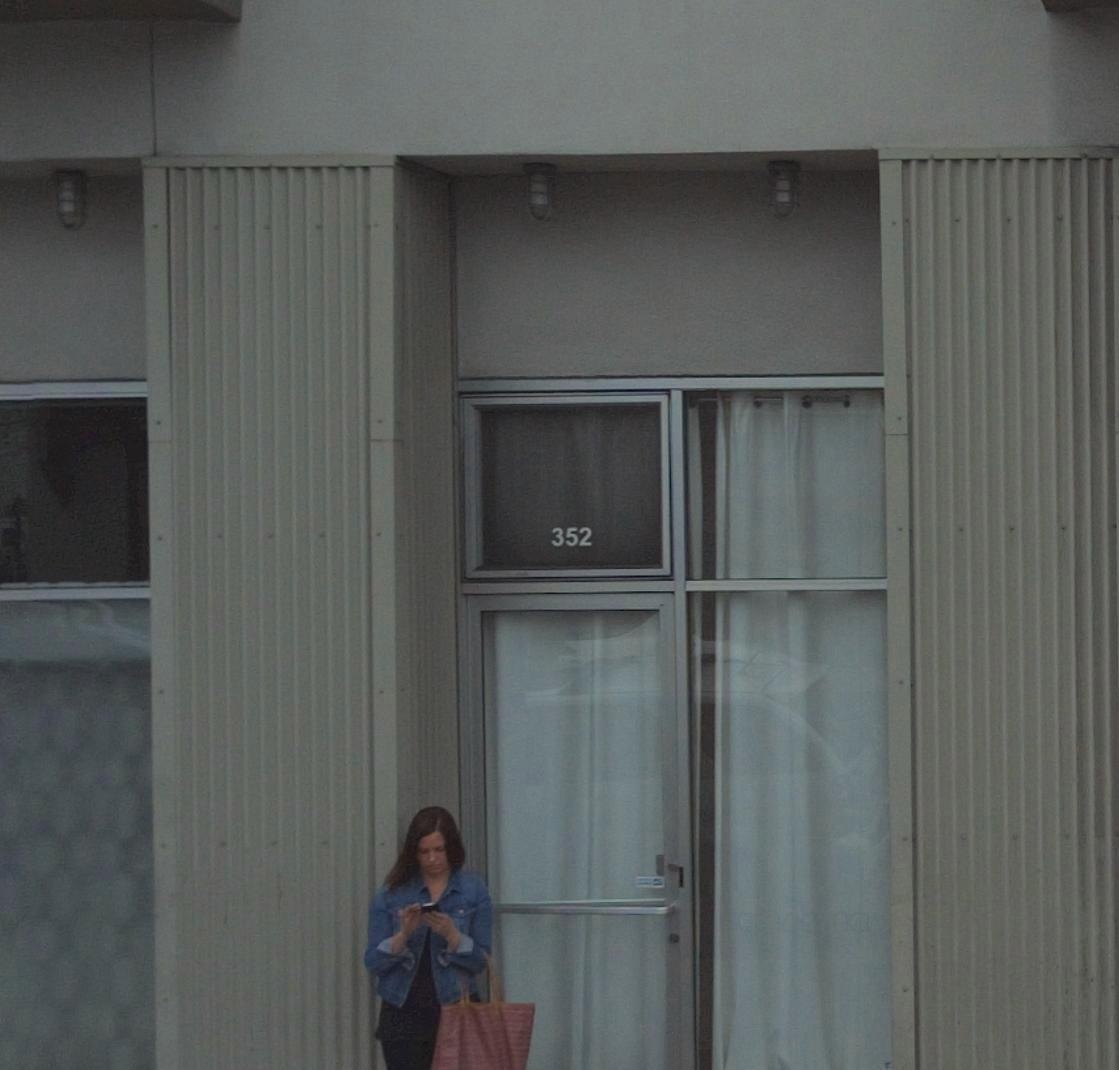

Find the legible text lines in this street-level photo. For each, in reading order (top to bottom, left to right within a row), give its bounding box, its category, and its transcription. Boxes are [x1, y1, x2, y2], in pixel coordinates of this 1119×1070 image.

[549, 524, 594, 549] StreetNumber: 352